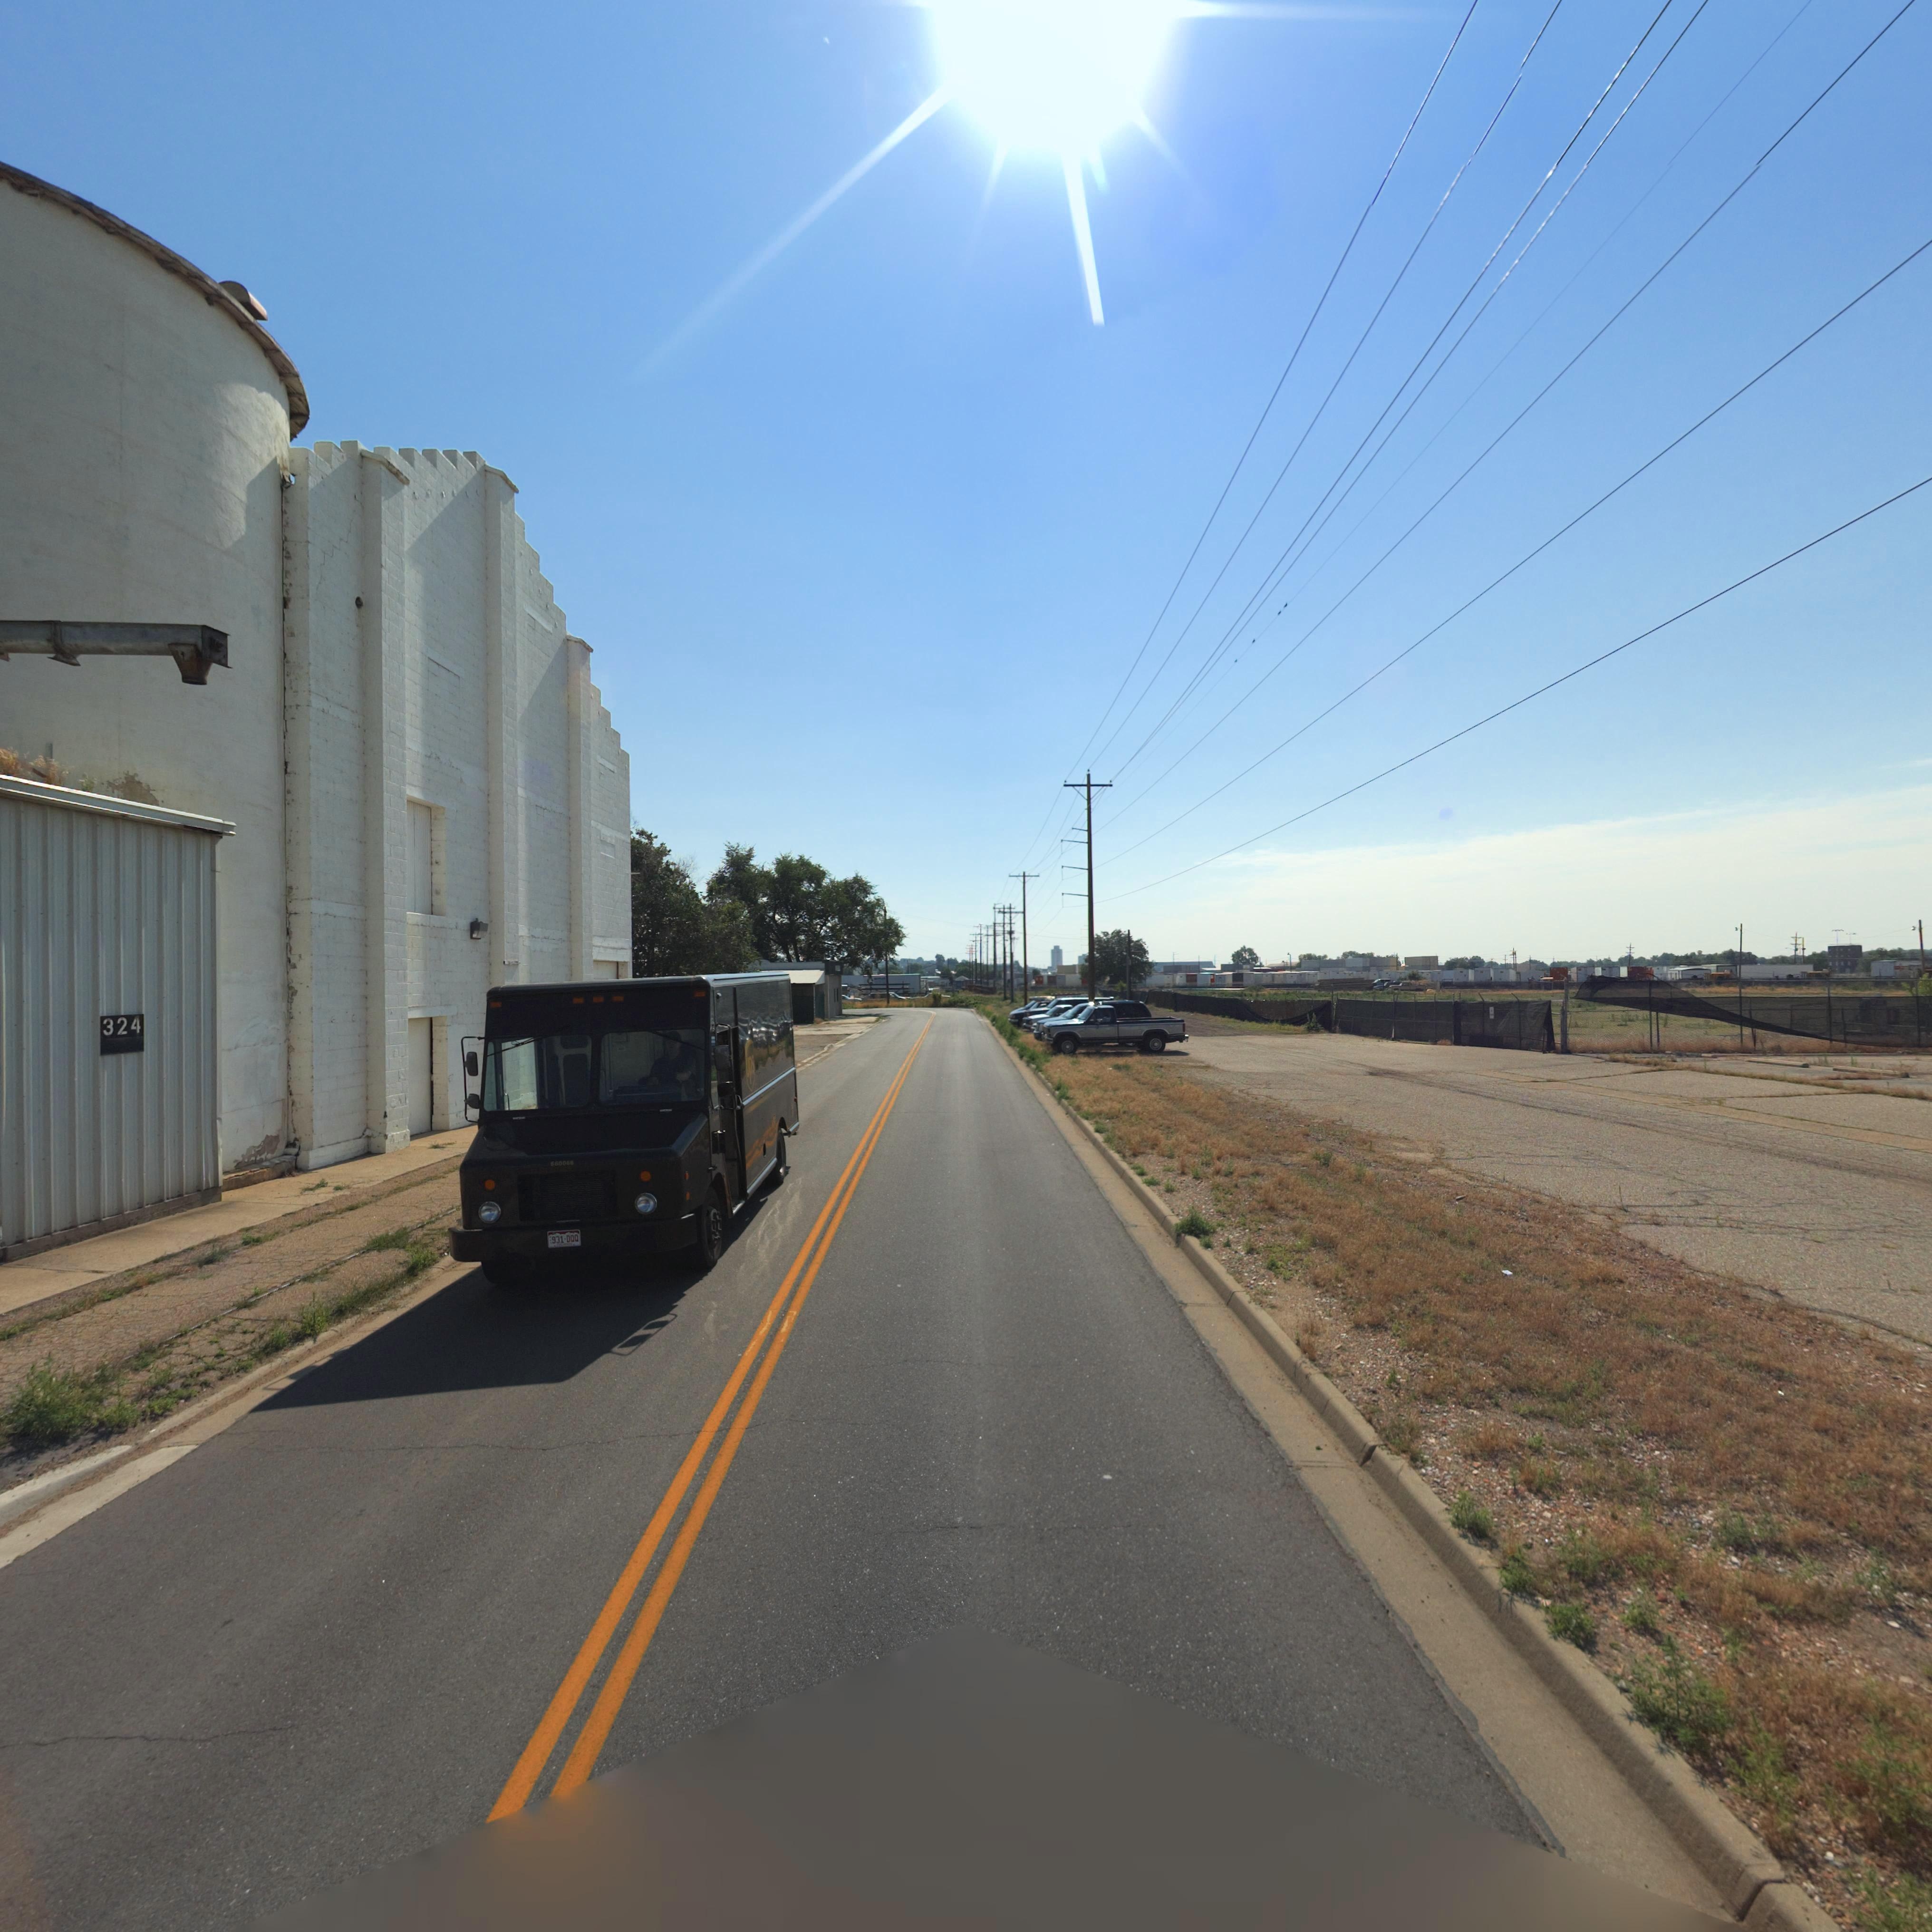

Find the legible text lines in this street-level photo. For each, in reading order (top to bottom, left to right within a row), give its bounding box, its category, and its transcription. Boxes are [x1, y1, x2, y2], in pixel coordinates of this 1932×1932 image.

[102, 1015, 141, 1036] StreetNumber: 324